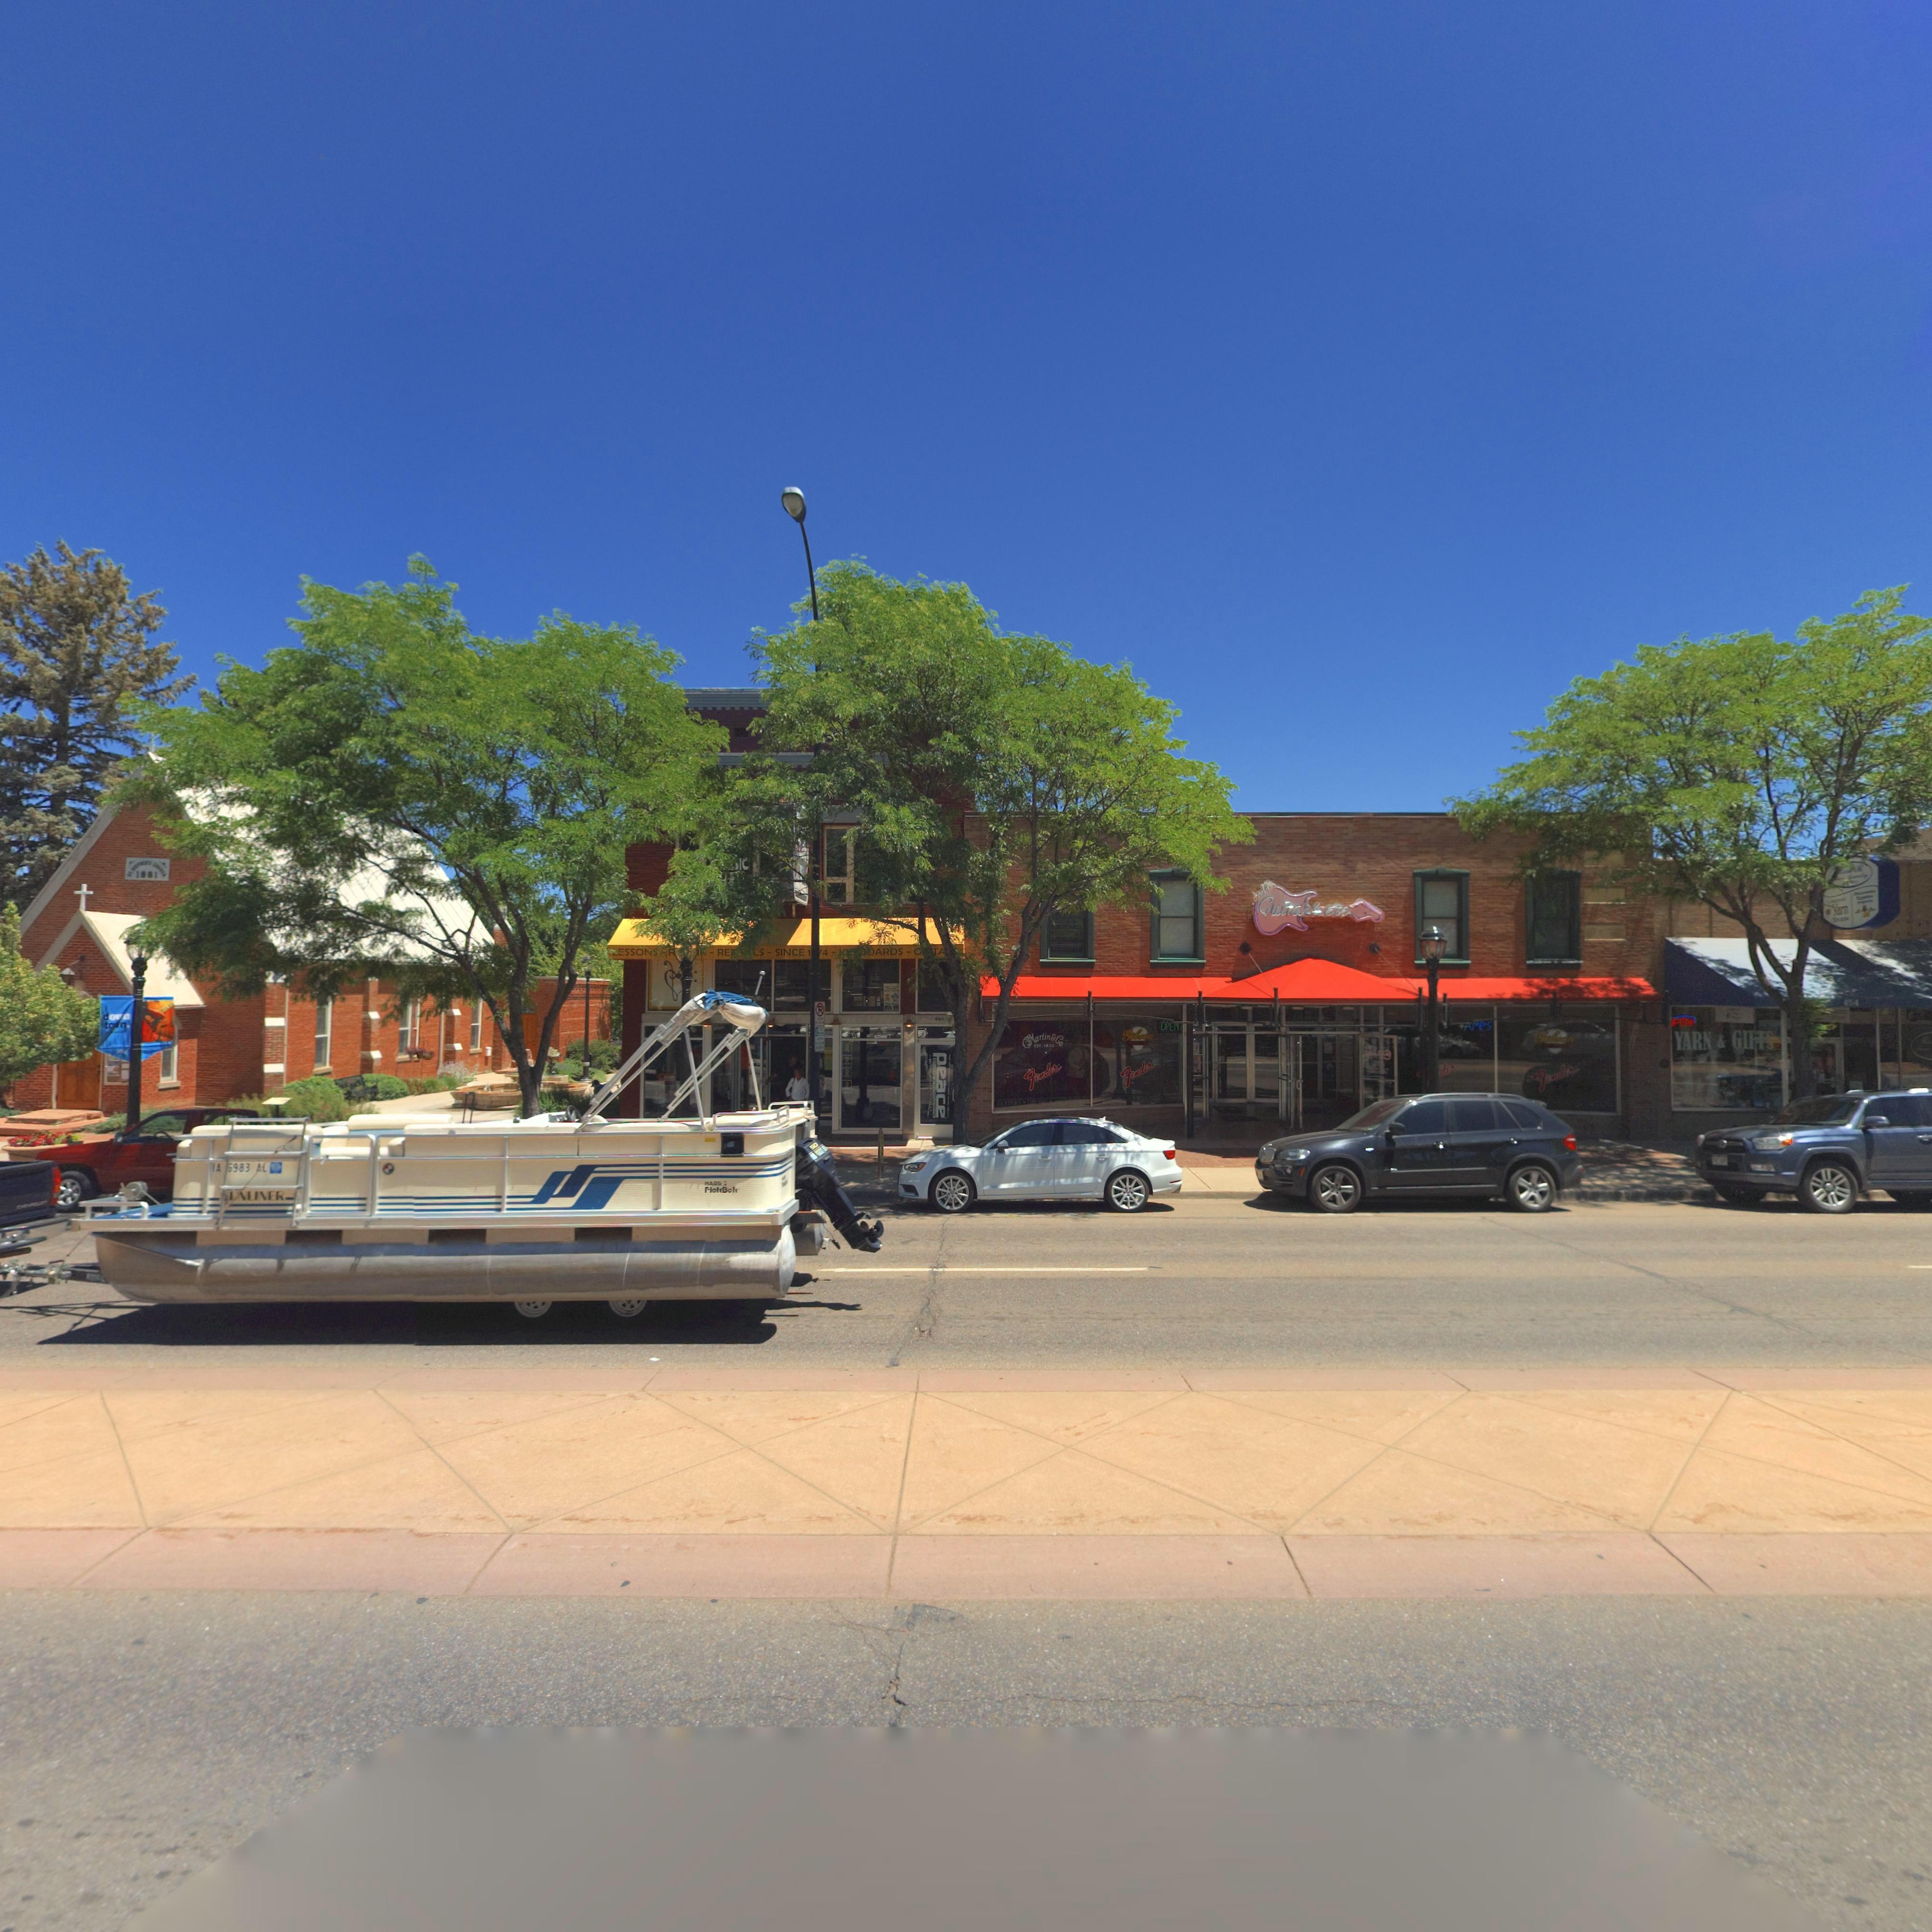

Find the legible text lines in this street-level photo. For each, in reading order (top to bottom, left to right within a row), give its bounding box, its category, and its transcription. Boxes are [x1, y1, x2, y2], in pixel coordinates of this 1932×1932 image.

[1258, 894, 1352, 918] BusinessName: Guitars etc
[934, 1015, 945, 1021] StreetNumber: 464